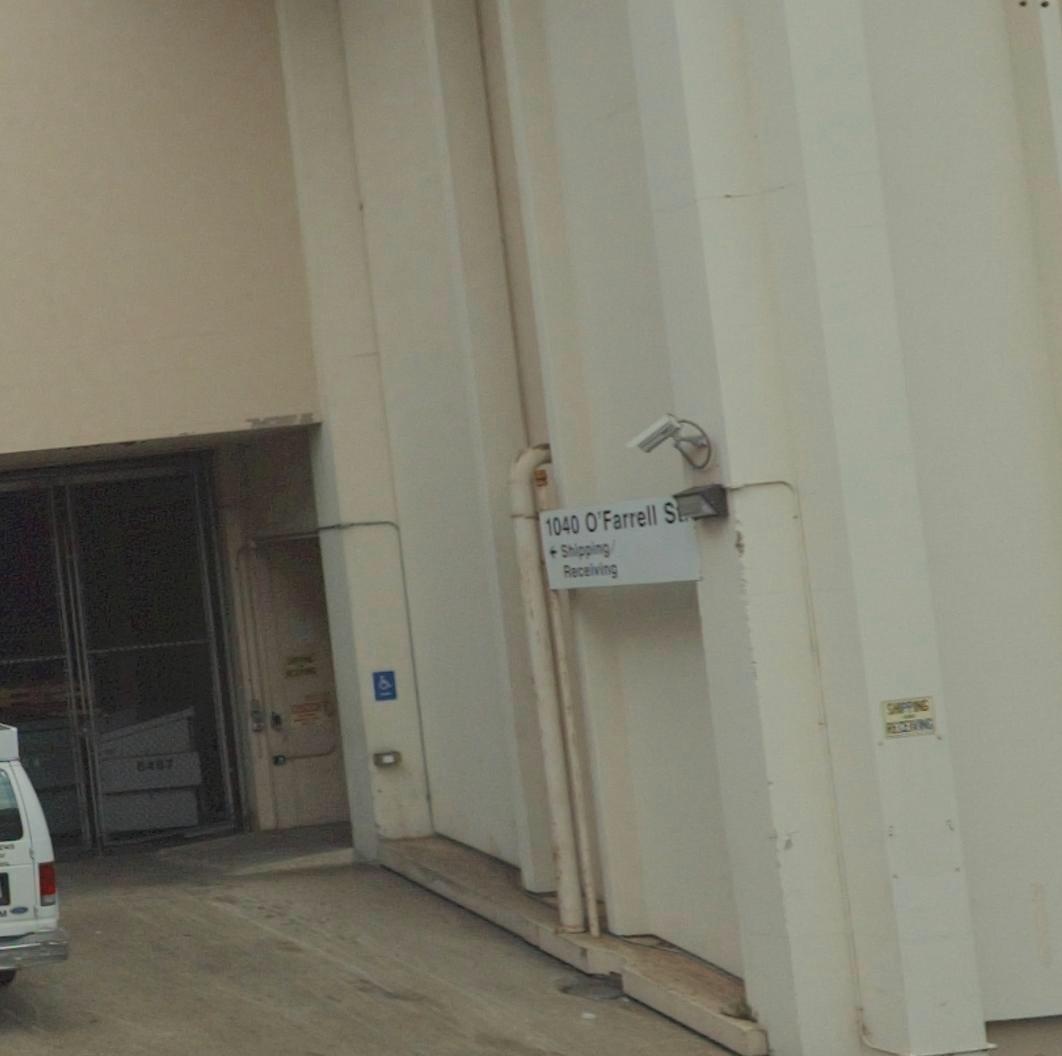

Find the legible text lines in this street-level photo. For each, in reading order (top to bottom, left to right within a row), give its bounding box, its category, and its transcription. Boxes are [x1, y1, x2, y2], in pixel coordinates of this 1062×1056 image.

[544, 514, 582, 537] StreetNumber: 1040
[583, 500, 677, 534] StreetName: O'FARRELL S
[559, 542, 612, 561] None: Shipping
[562, 562, 619, 580] None: Rece***ng
[912, 698, 931, 714] None: NG
[135, 757, 175, 774] None: 6487